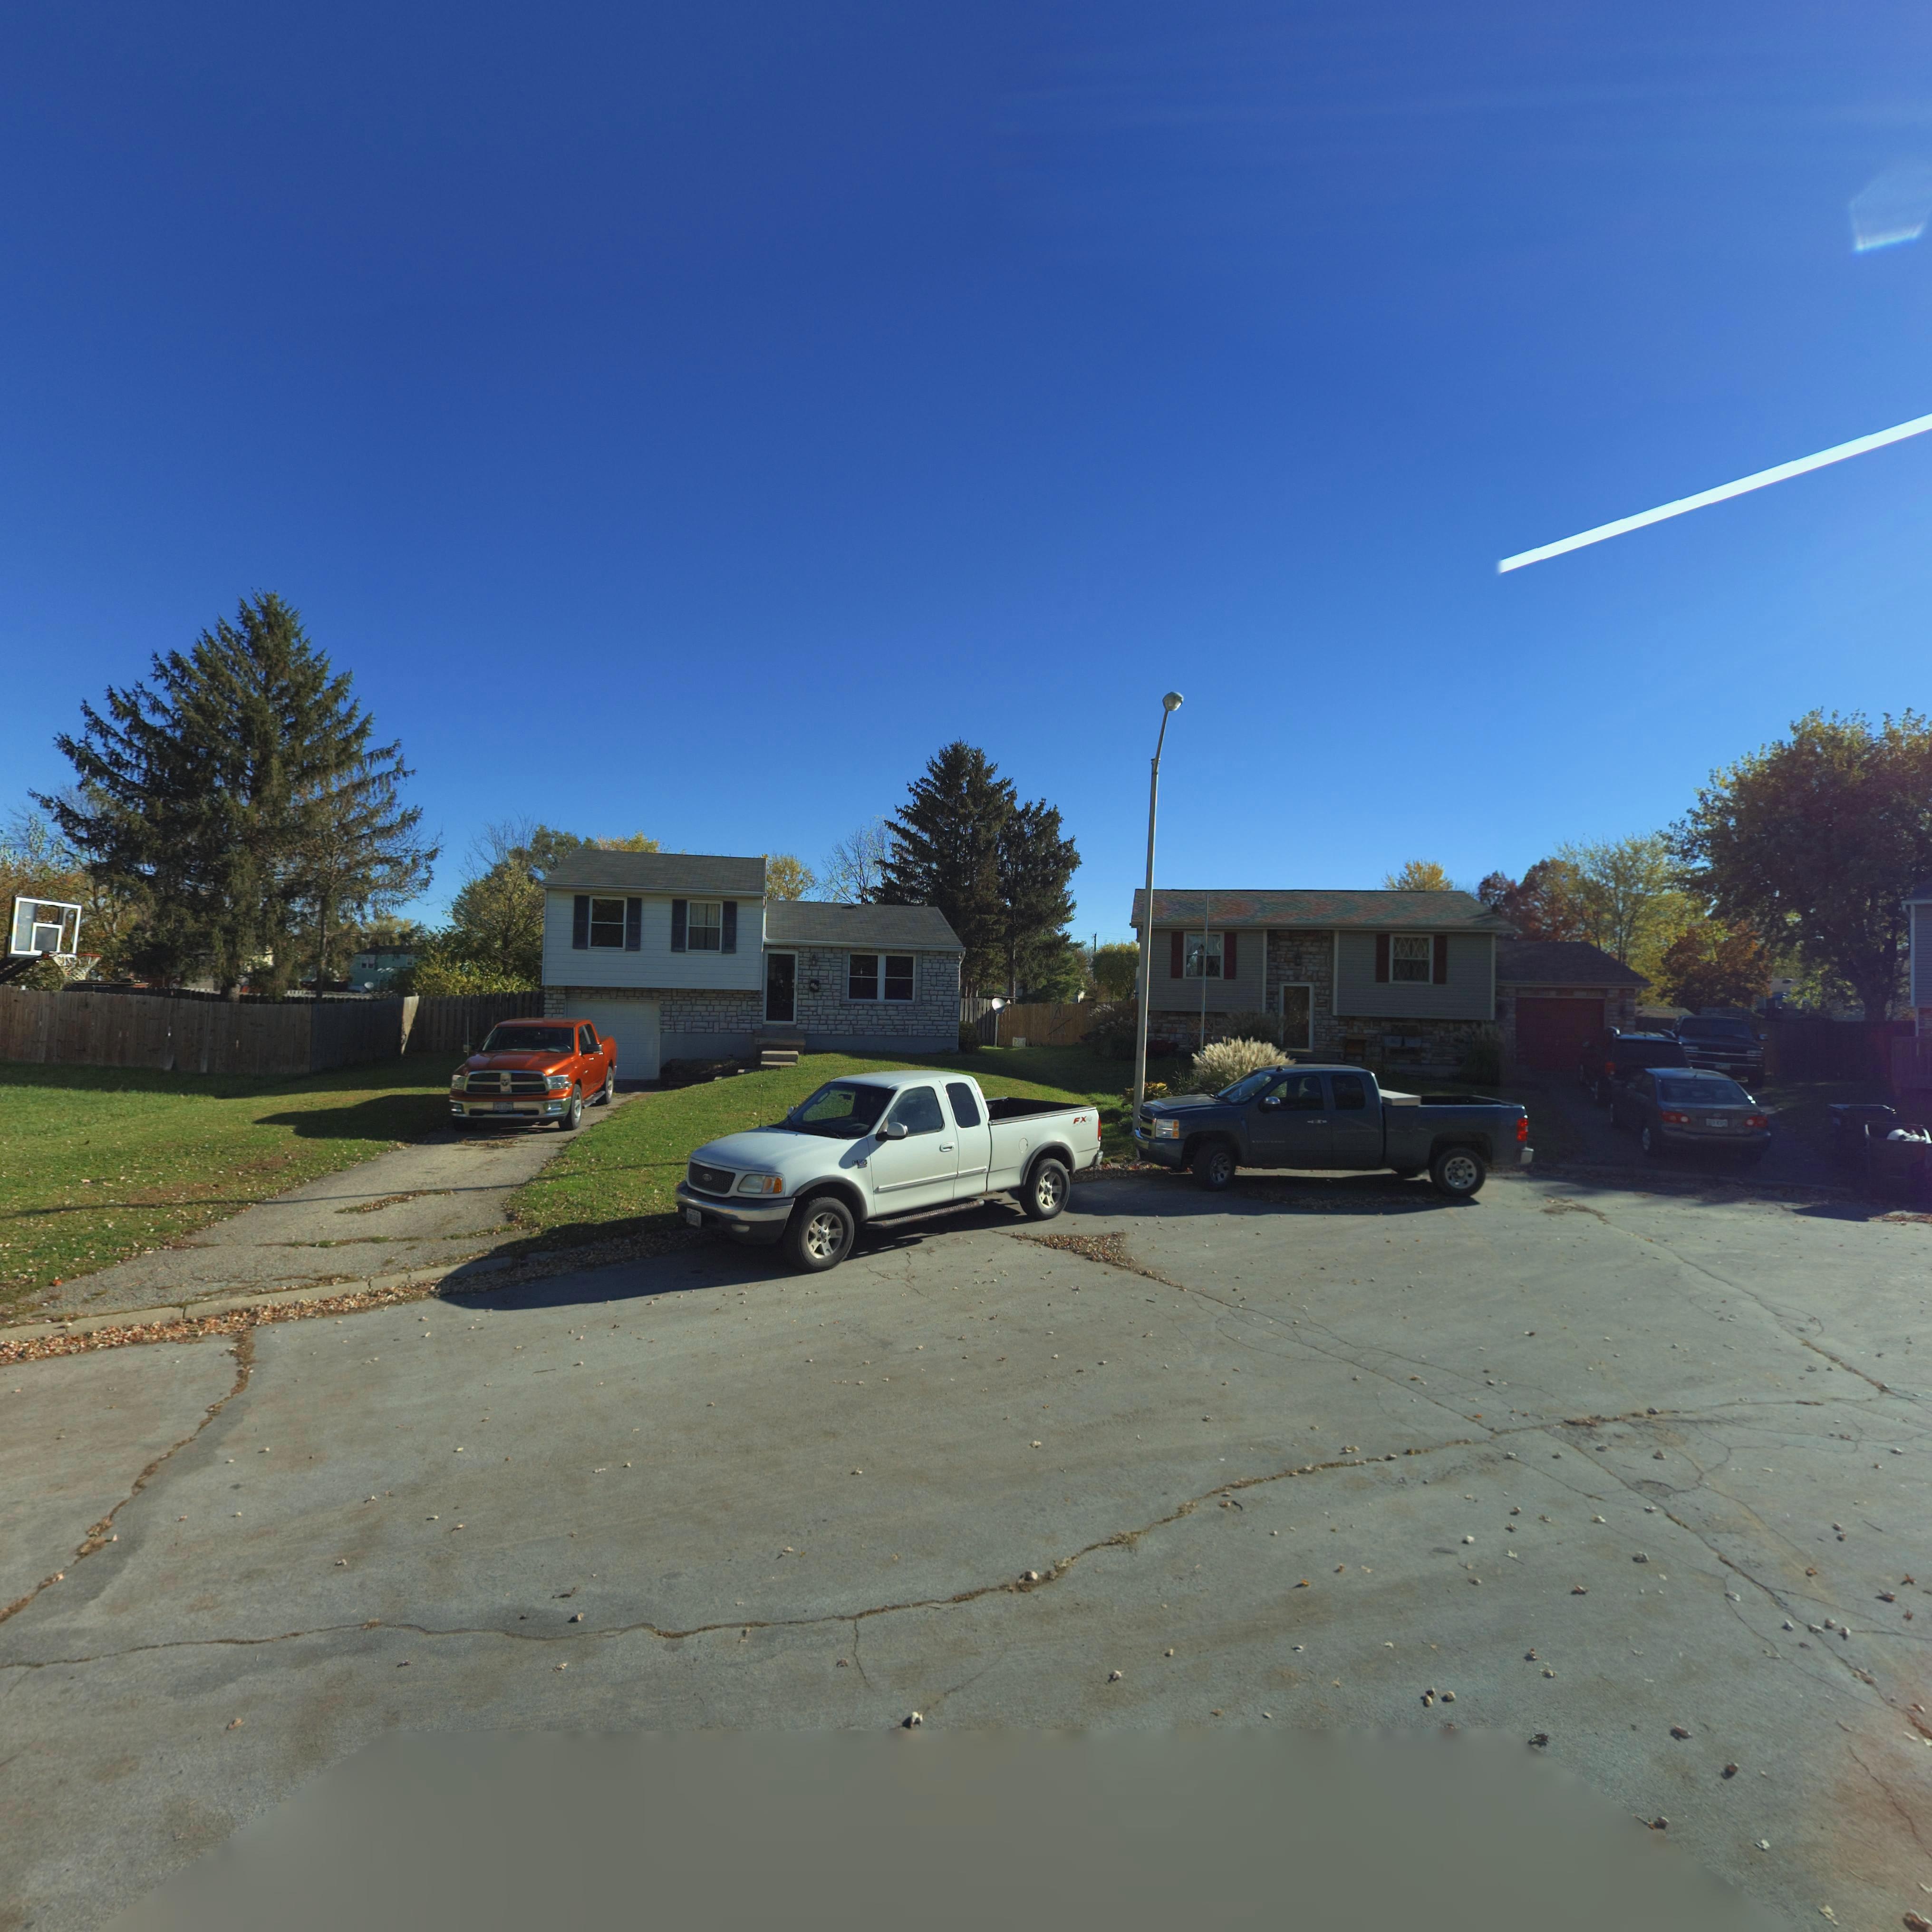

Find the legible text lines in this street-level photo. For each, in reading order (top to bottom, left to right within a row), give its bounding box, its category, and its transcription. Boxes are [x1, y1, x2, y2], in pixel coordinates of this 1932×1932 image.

[810, 983, 819, 990] StreetNumber: 1**